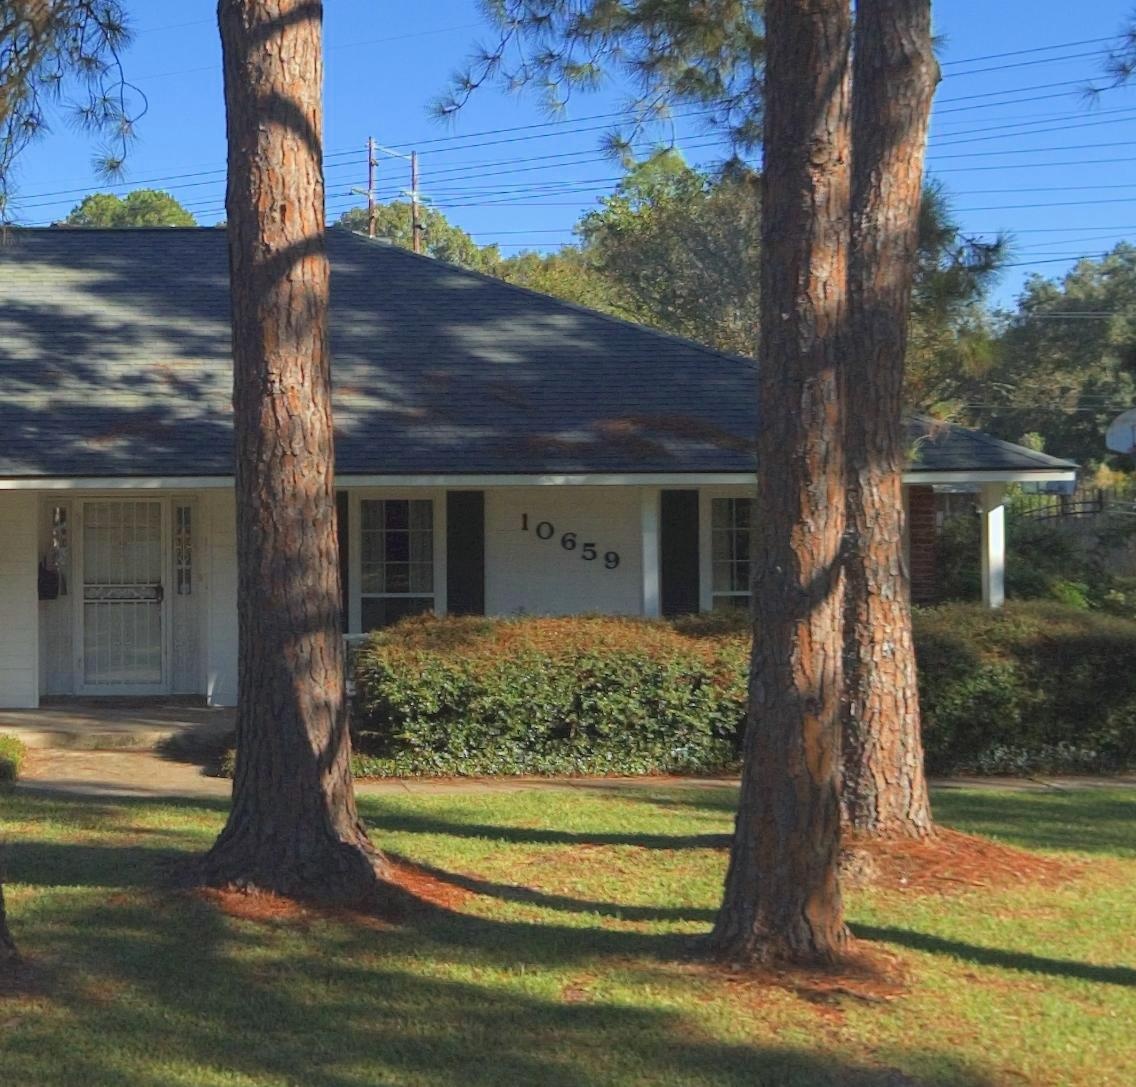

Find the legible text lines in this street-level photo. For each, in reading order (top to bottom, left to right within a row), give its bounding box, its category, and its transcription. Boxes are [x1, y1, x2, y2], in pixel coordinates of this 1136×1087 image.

[518, 511, 622, 572] StreetNumber: 10659